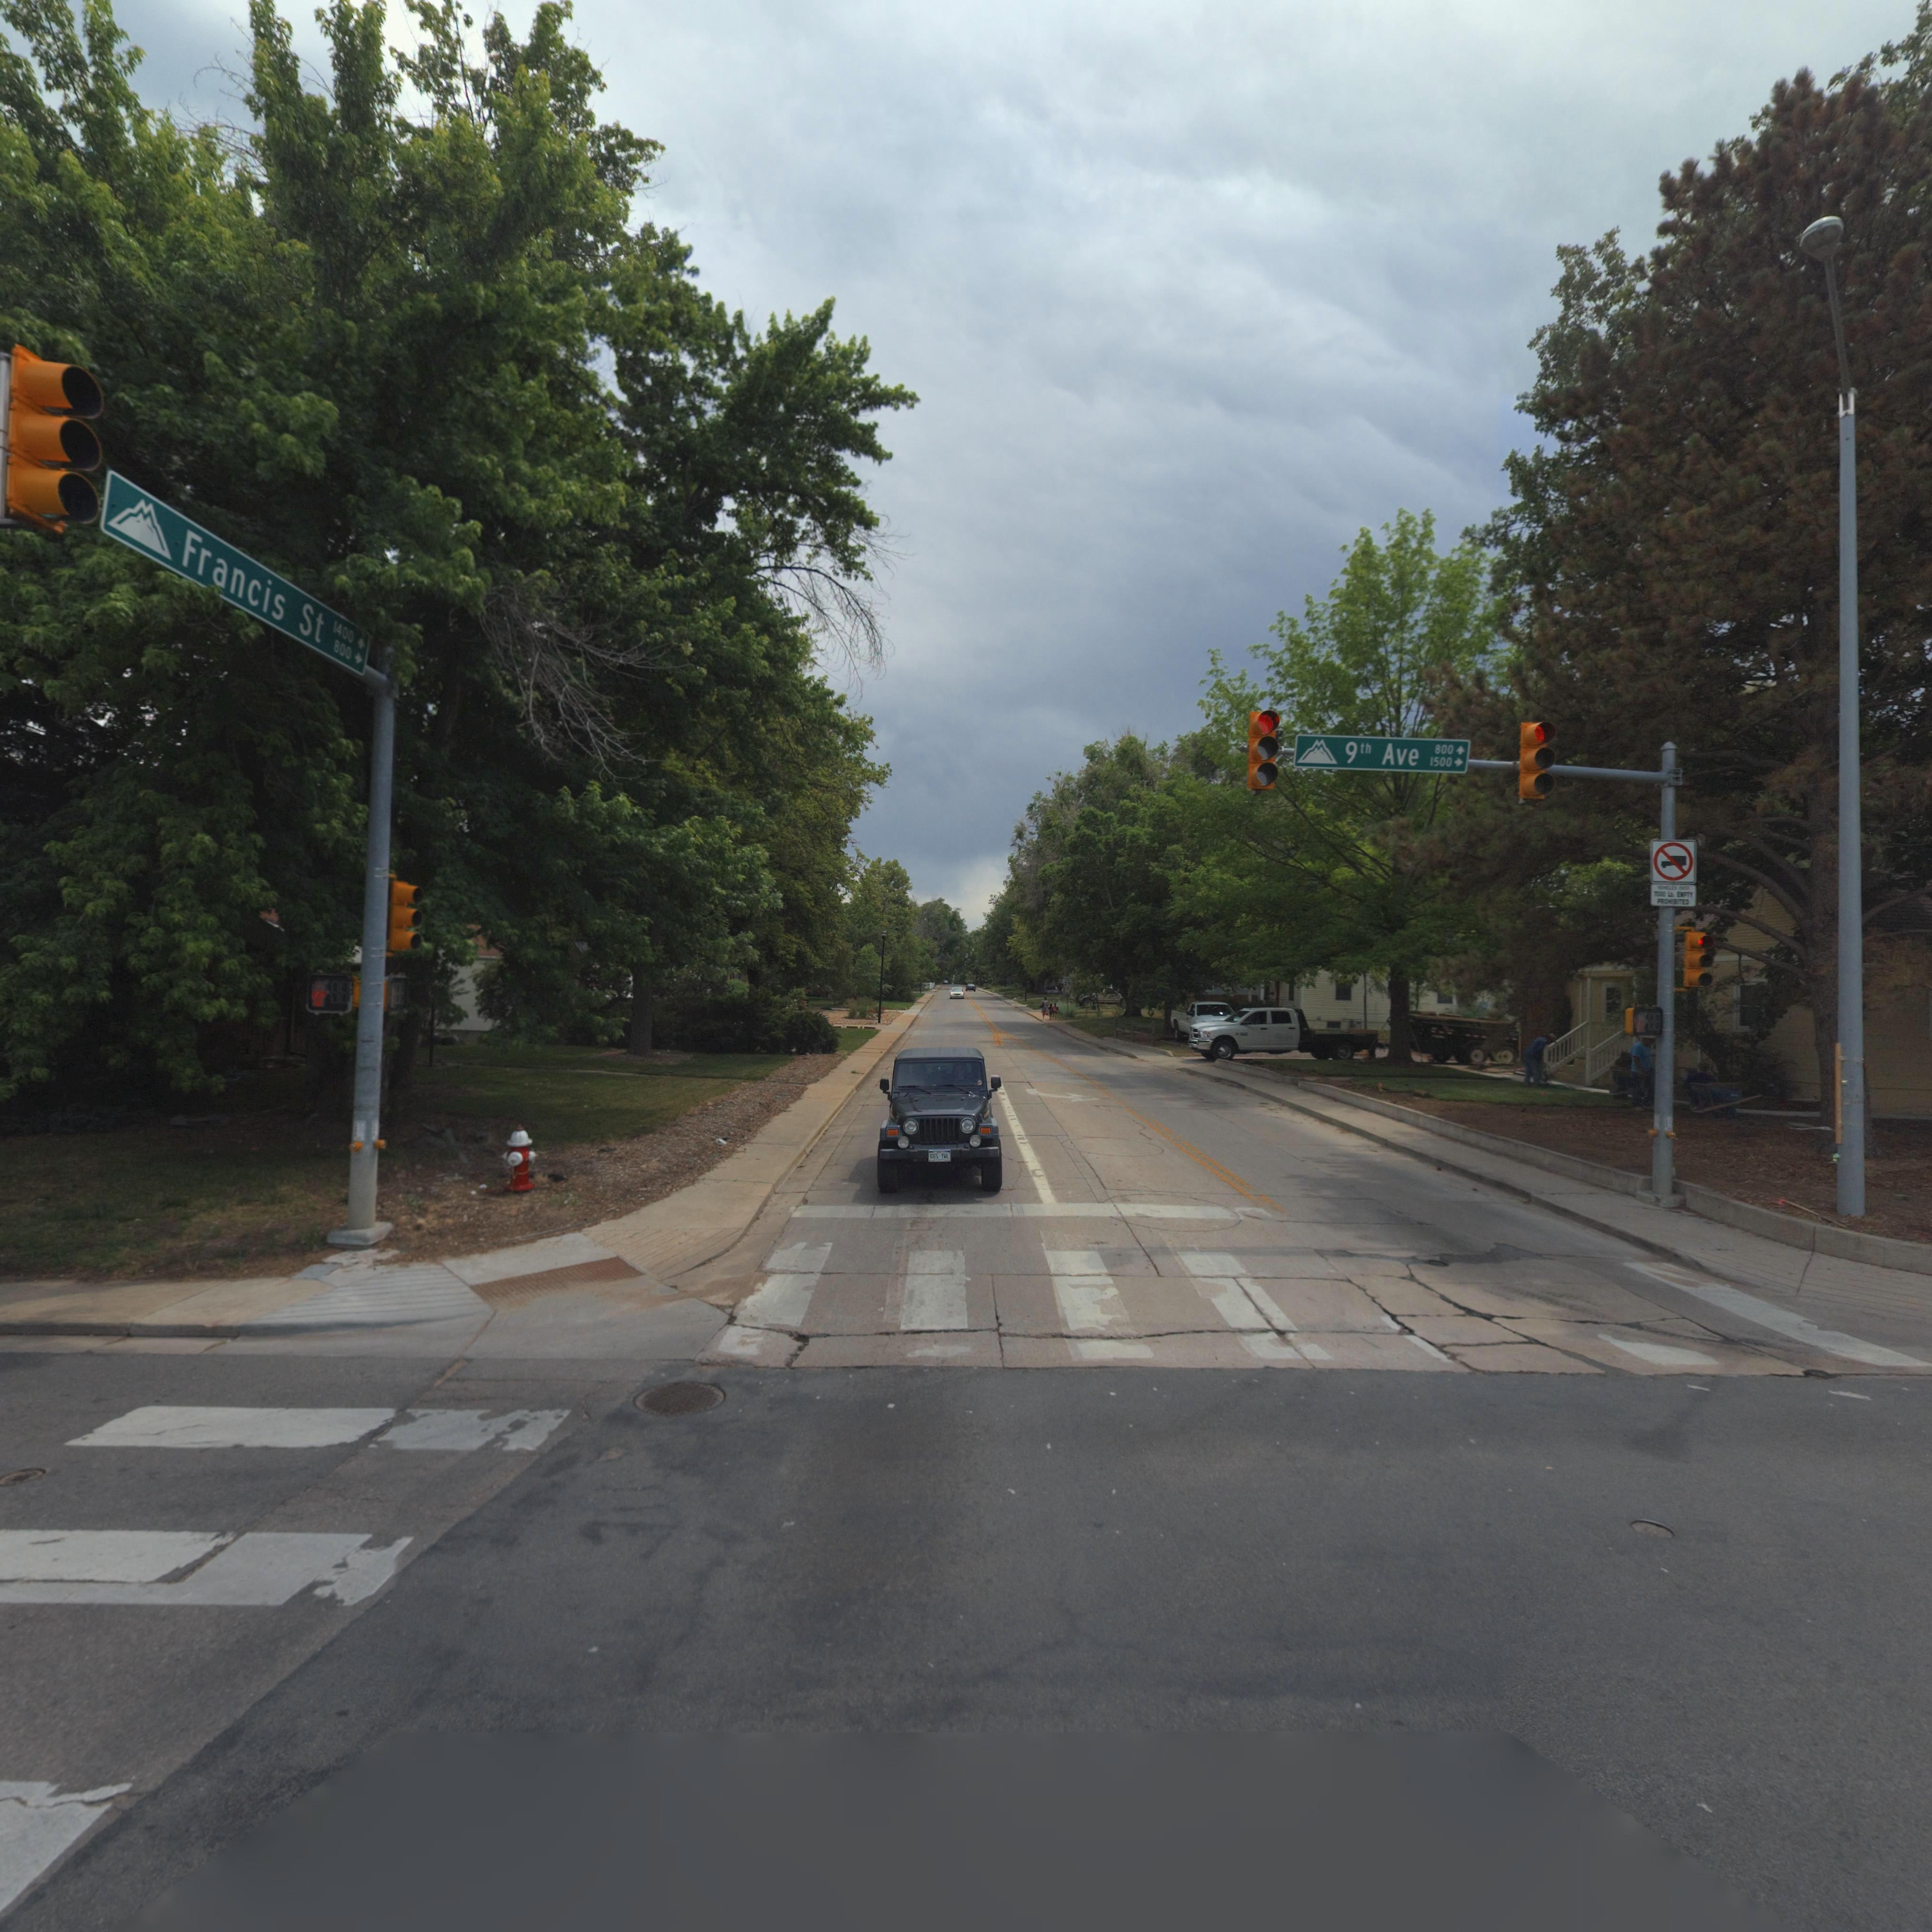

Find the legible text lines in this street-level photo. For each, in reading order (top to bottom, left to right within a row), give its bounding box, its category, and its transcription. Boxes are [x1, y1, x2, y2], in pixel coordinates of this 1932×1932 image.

[181, 528, 326, 645] StreetName: Francis St
[332, 619, 355, 645] StreetNumberRange: 1400
[333, 638, 363, 666] StreetNumberRange: 800 ->
[1344, 740, 1420, 766] StreetName: 9th Ave
[1434, 744, 1454, 755] StreetNumberRange: 800
[1429, 756, 1464, 767] StreetNumberRange: 1500 ->